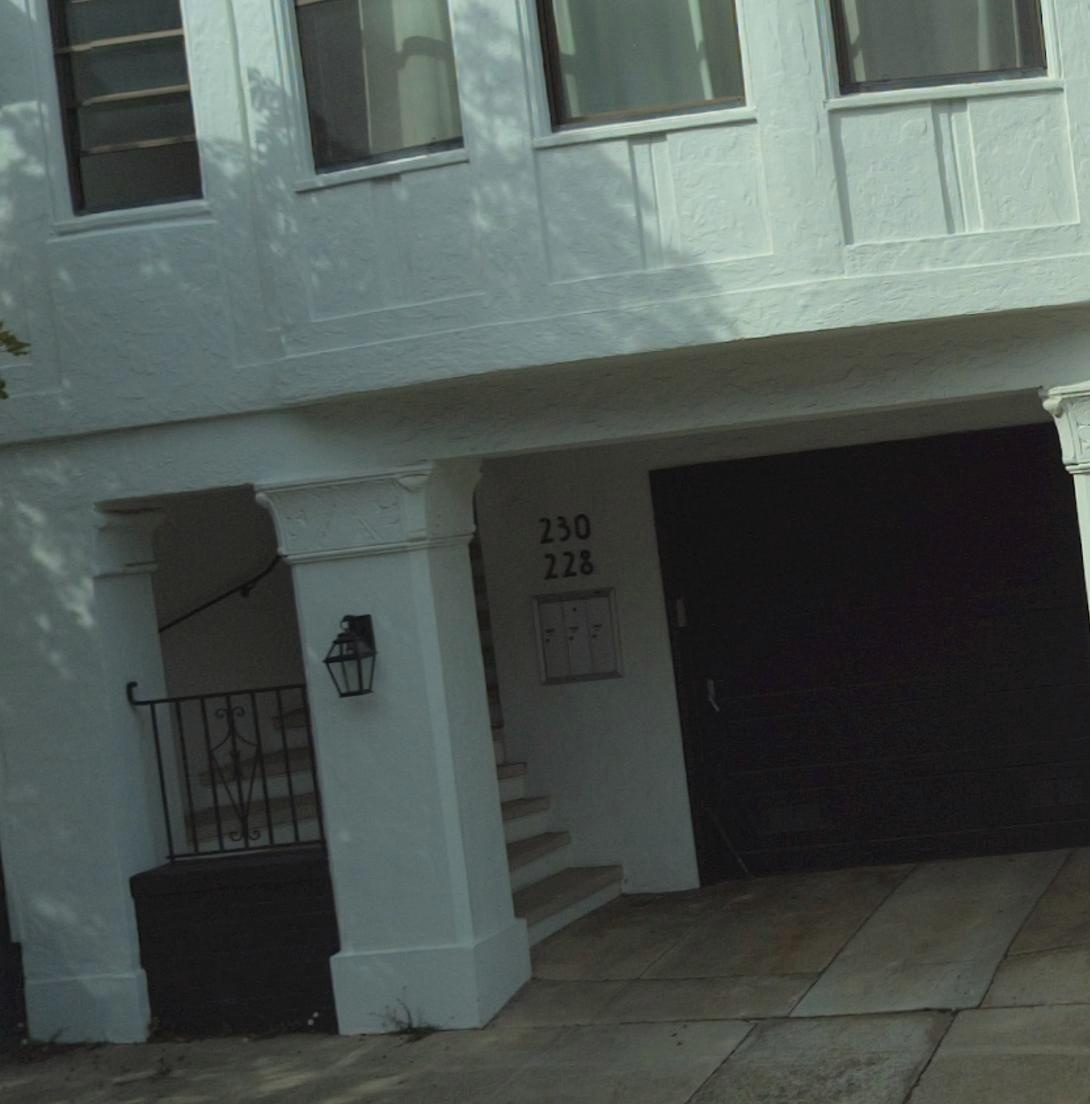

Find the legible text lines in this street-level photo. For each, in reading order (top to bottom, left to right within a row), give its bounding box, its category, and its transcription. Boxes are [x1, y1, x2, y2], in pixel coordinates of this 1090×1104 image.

[538, 512, 592, 545] StreetNumber: 230
[542, 548, 596, 579] StreetNumber: 228